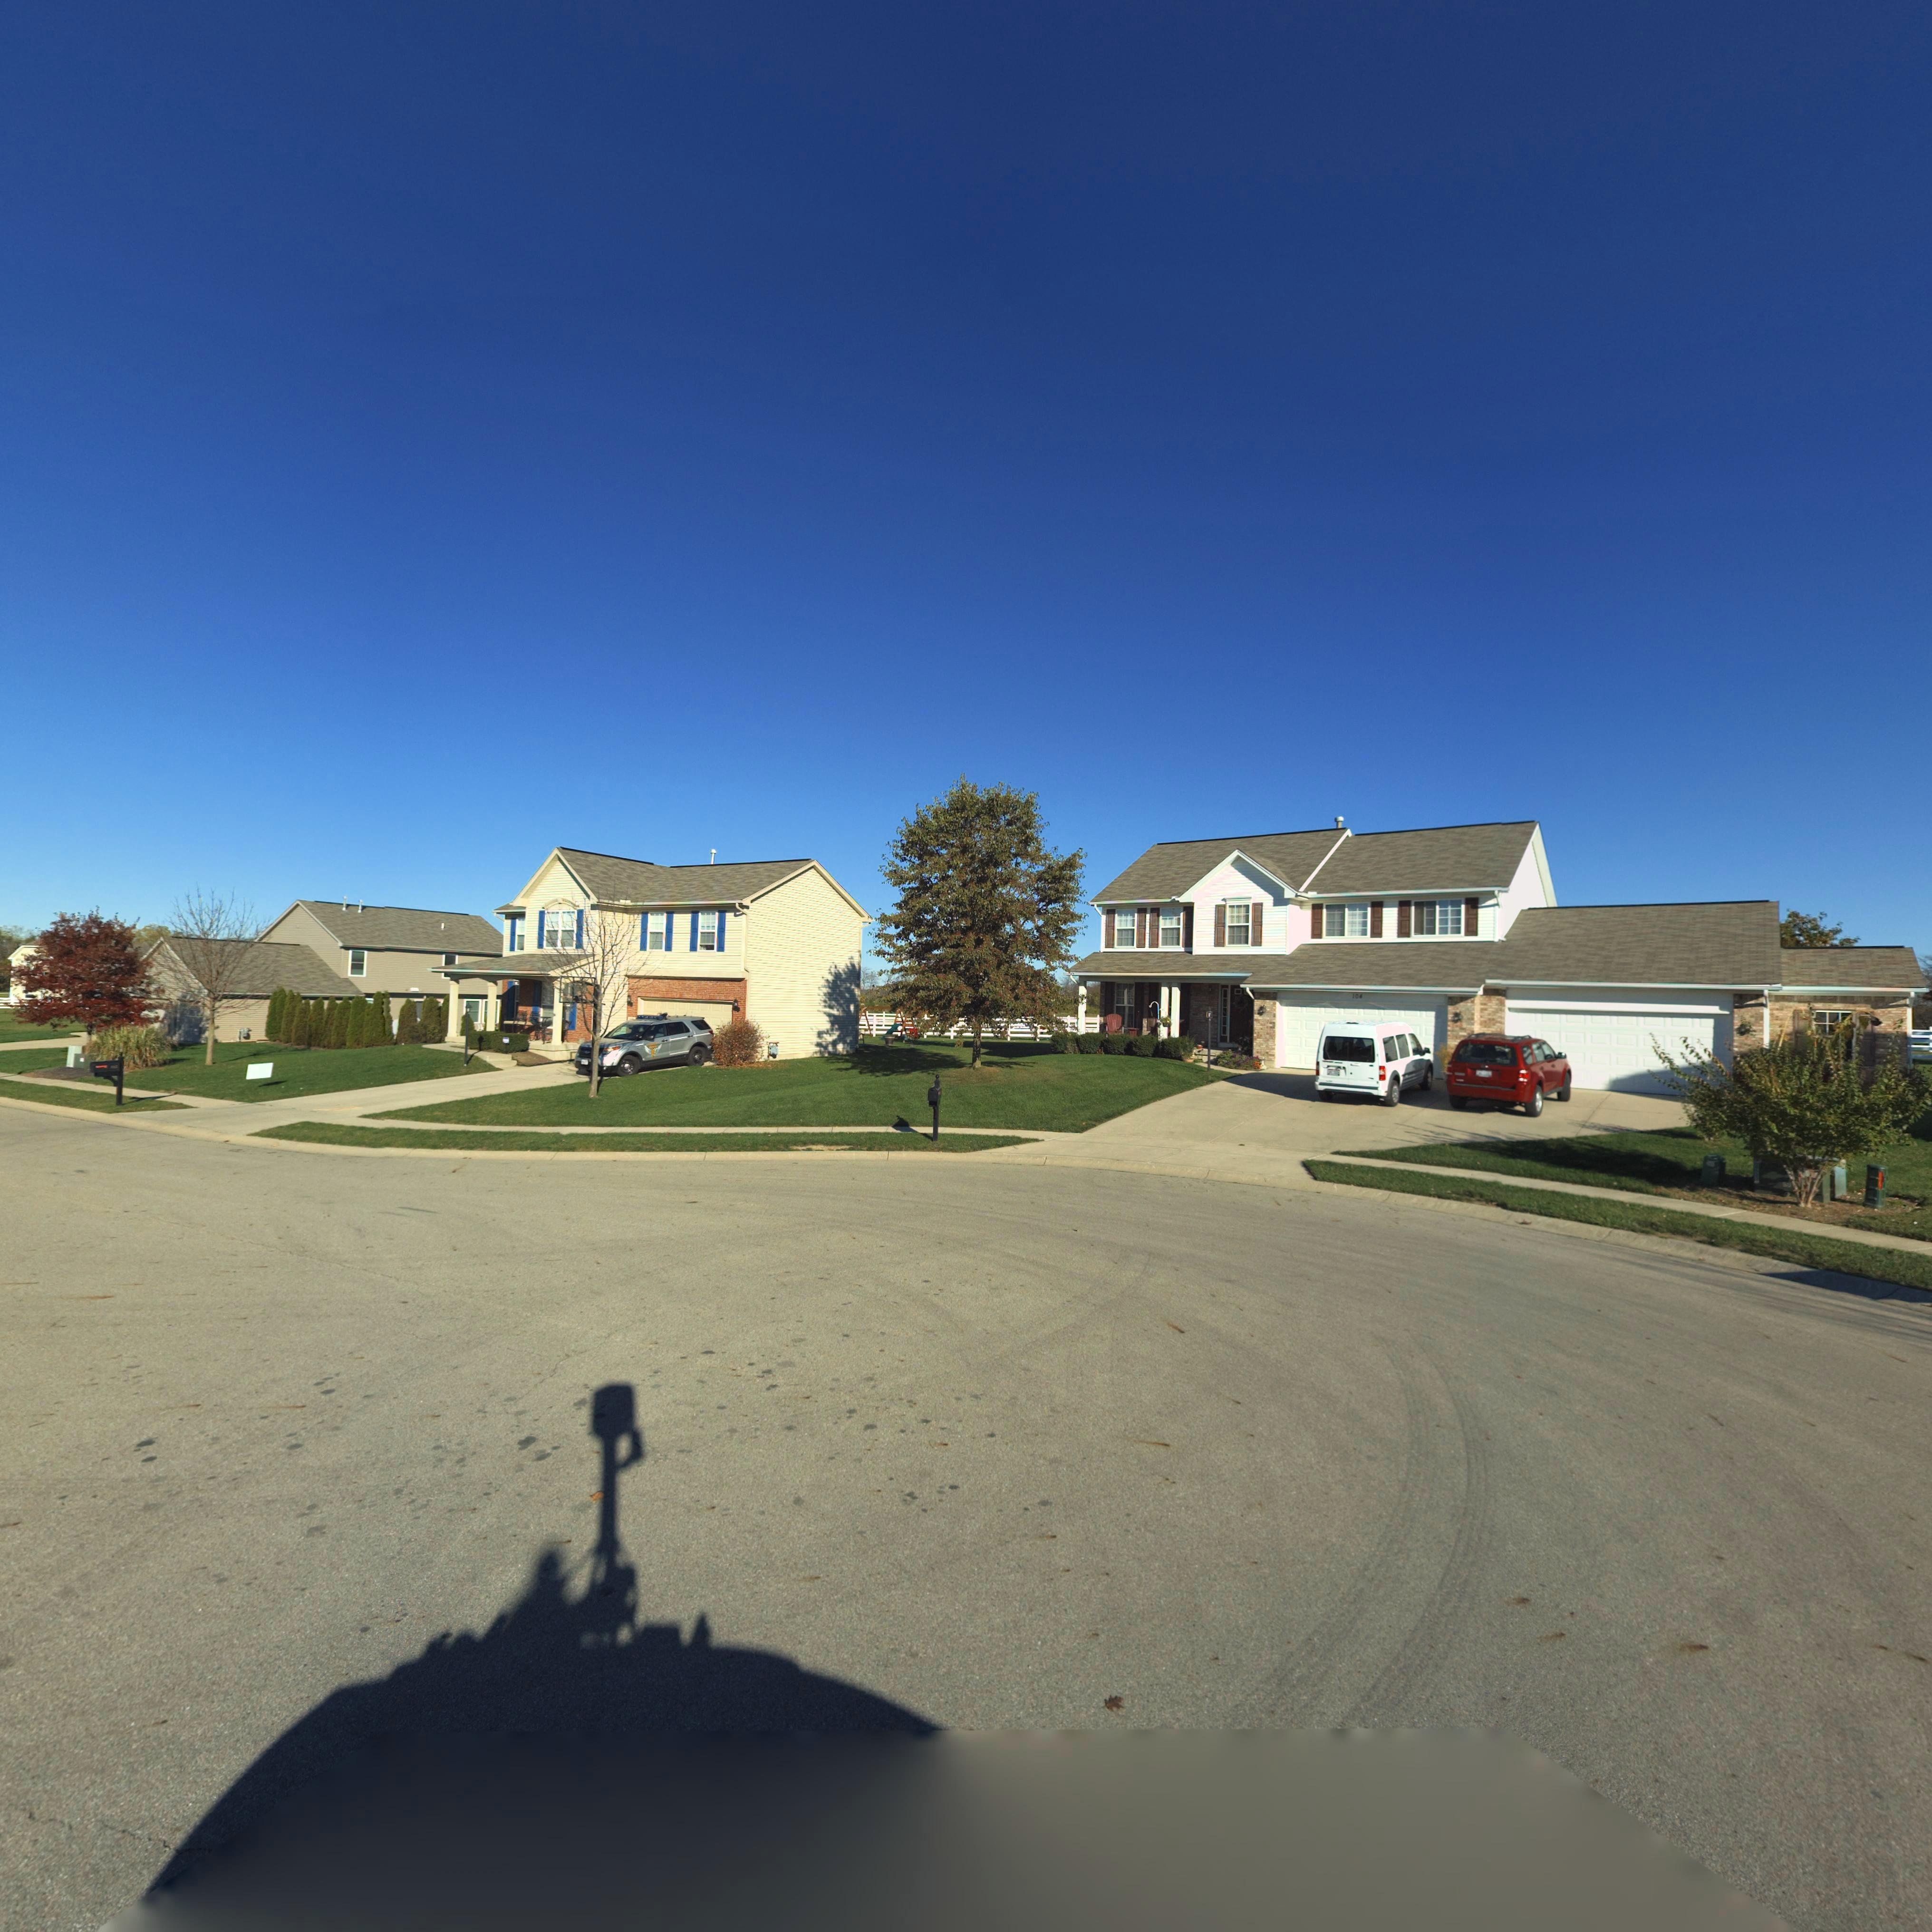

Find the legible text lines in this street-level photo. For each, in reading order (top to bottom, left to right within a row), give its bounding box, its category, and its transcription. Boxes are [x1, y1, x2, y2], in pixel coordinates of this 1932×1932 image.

[1351, 993, 1363, 1000] StreetNumber: 10*